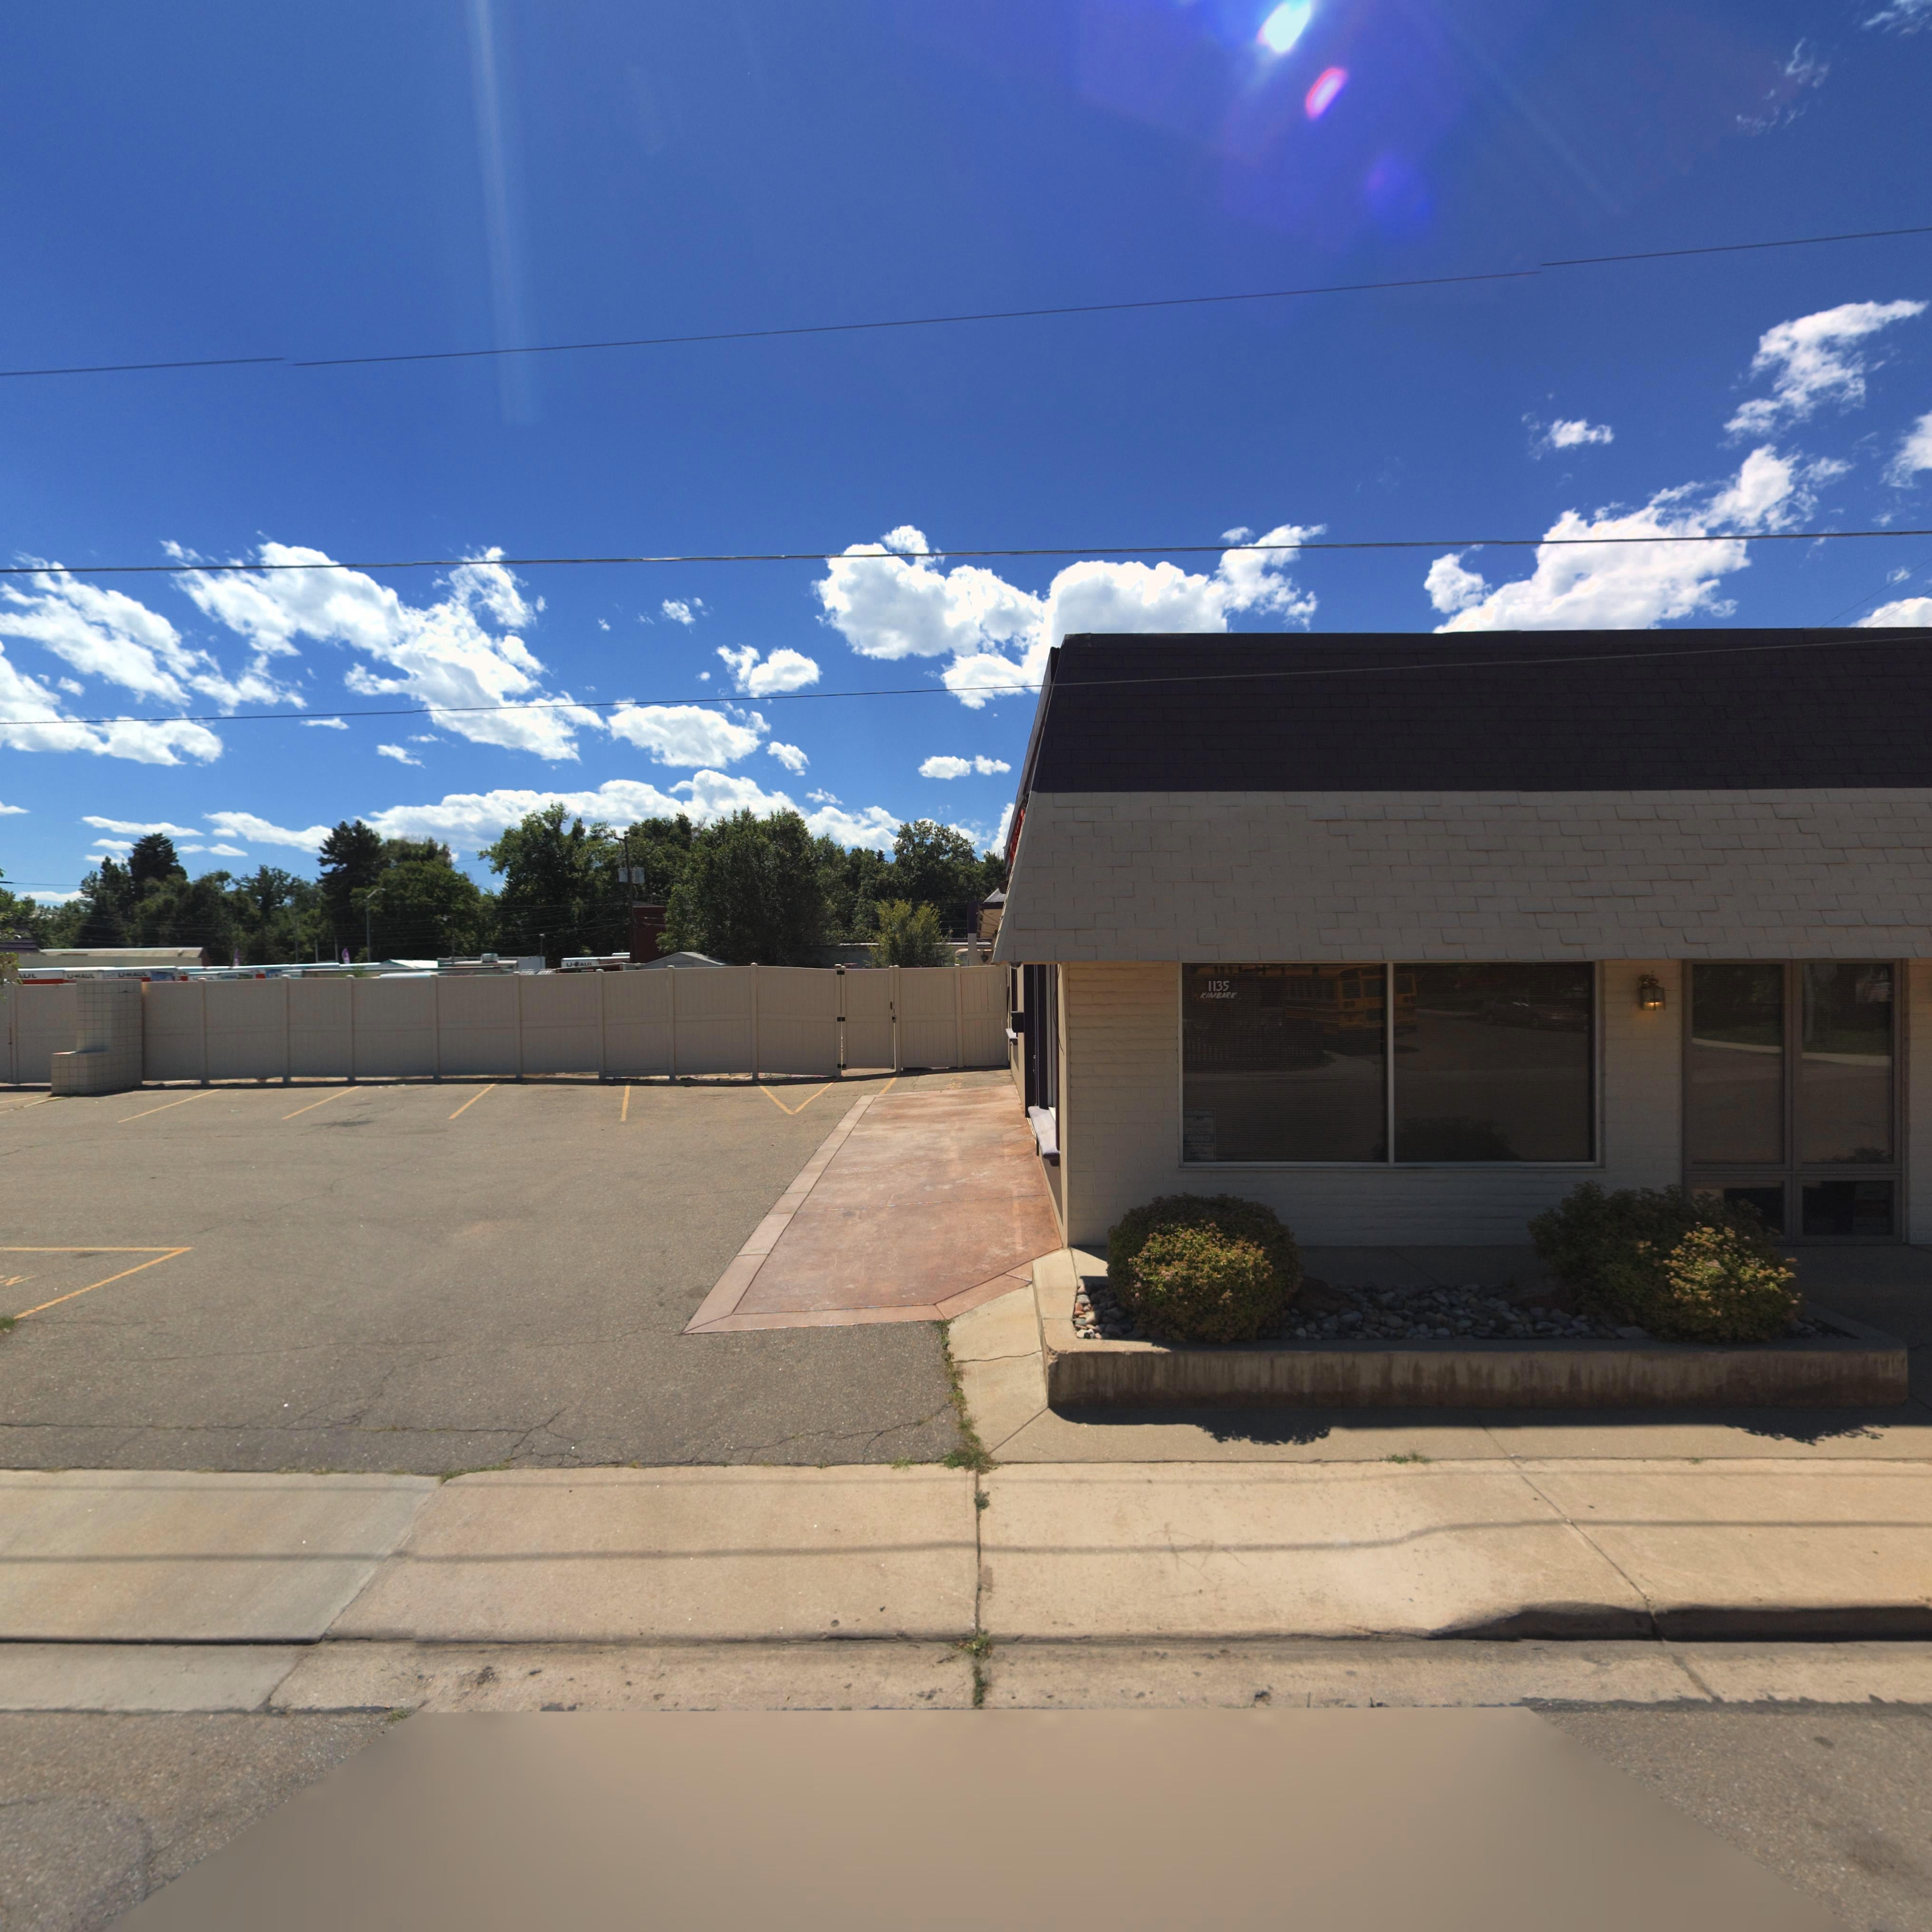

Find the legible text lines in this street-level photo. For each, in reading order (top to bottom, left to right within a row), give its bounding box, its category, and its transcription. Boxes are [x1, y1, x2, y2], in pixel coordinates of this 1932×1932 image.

[1207, 980, 1230, 992] StreetNumber: 1135
[1199, 992, 1237, 999] StreetName: KIMBARK